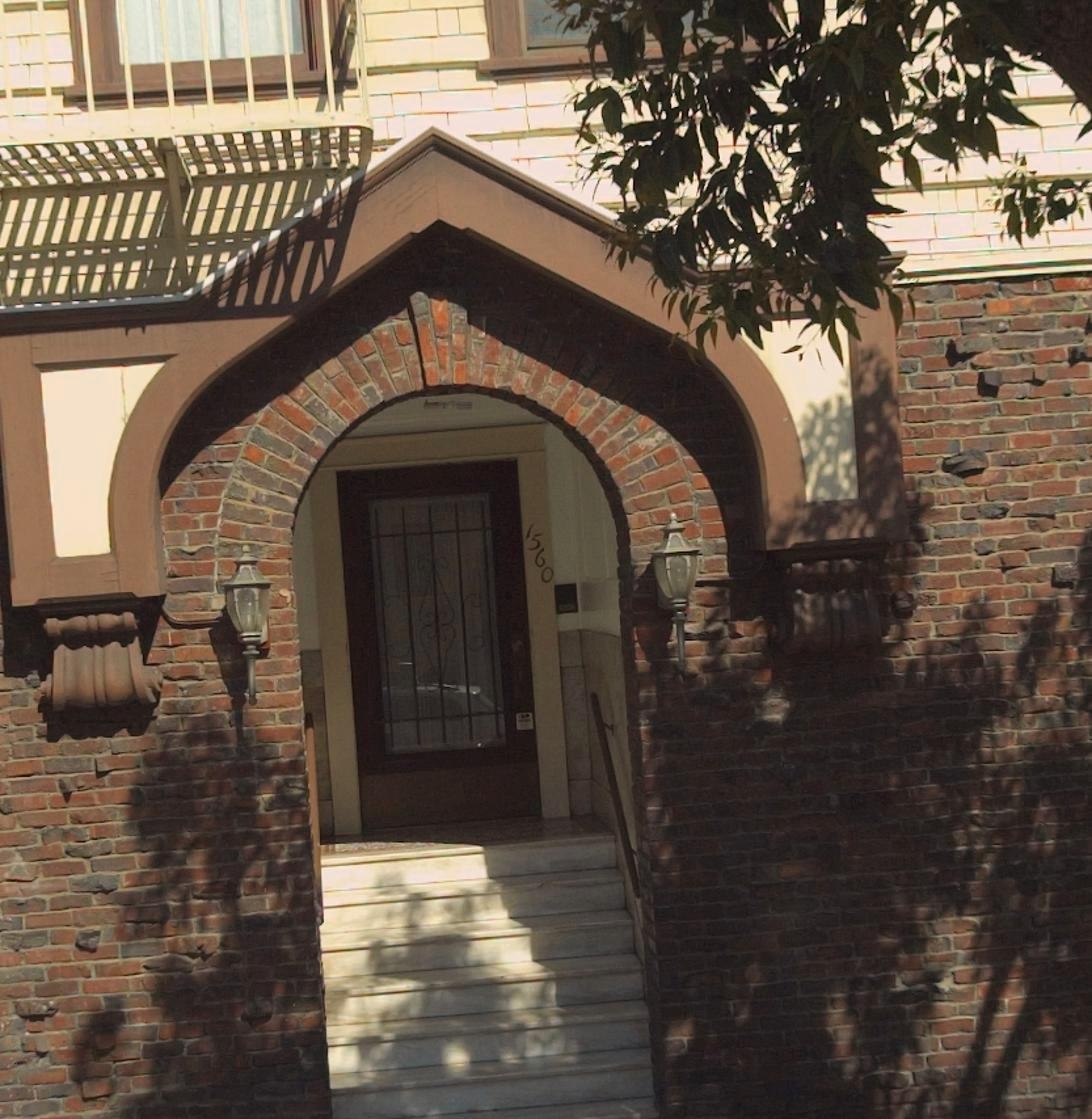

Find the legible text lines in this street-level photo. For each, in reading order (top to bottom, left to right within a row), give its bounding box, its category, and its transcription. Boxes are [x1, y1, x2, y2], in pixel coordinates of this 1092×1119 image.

[522, 521, 557, 584] StreetNumber: 1560